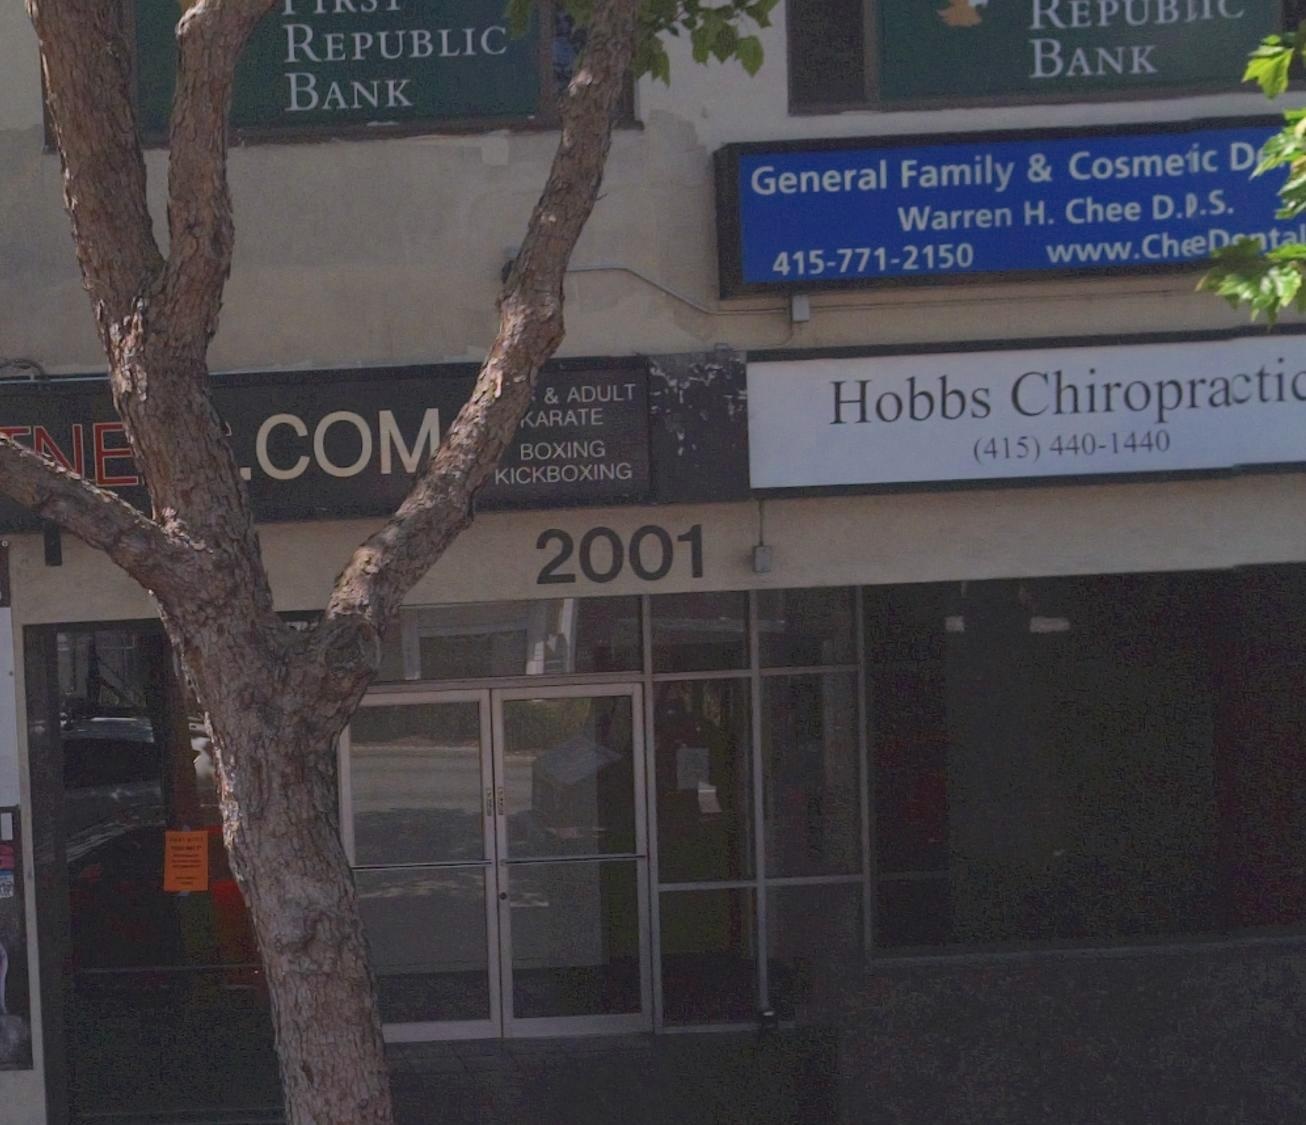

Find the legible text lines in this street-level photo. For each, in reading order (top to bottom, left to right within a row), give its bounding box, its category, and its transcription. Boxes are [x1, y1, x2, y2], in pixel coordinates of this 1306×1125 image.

[281, 22, 509, 64] None: REPUBLIC
[1027, 37, 1160, 80] None: BANK
[282, 71, 413, 113] None: BANK
[748, 138, 1257, 196] None: General Family & Cosme*ic D
[896, 188, 1235, 233] None: Warren H. Chee D.*.S.
[770, 242, 975, 277] None: 415-771-2150
[1044, 231, 1208, 265] None: www.Ch*e
[564, 383, 638, 404] None: ADULT
[828, 356, 1289, 427] BusinessName: Hobbs Chiropracti
[534, 407, 605, 428] None: ARATE
[92, 406, 445, 489] BusinessName: E**.COM
[520, 439, 607, 463] None: BOXING
[969, 428, 1172, 467] None: (415) 440-1440
[492, 461, 633, 486] None: KICKBOXING
[535, 523, 704, 586] StreetNumber: 2001